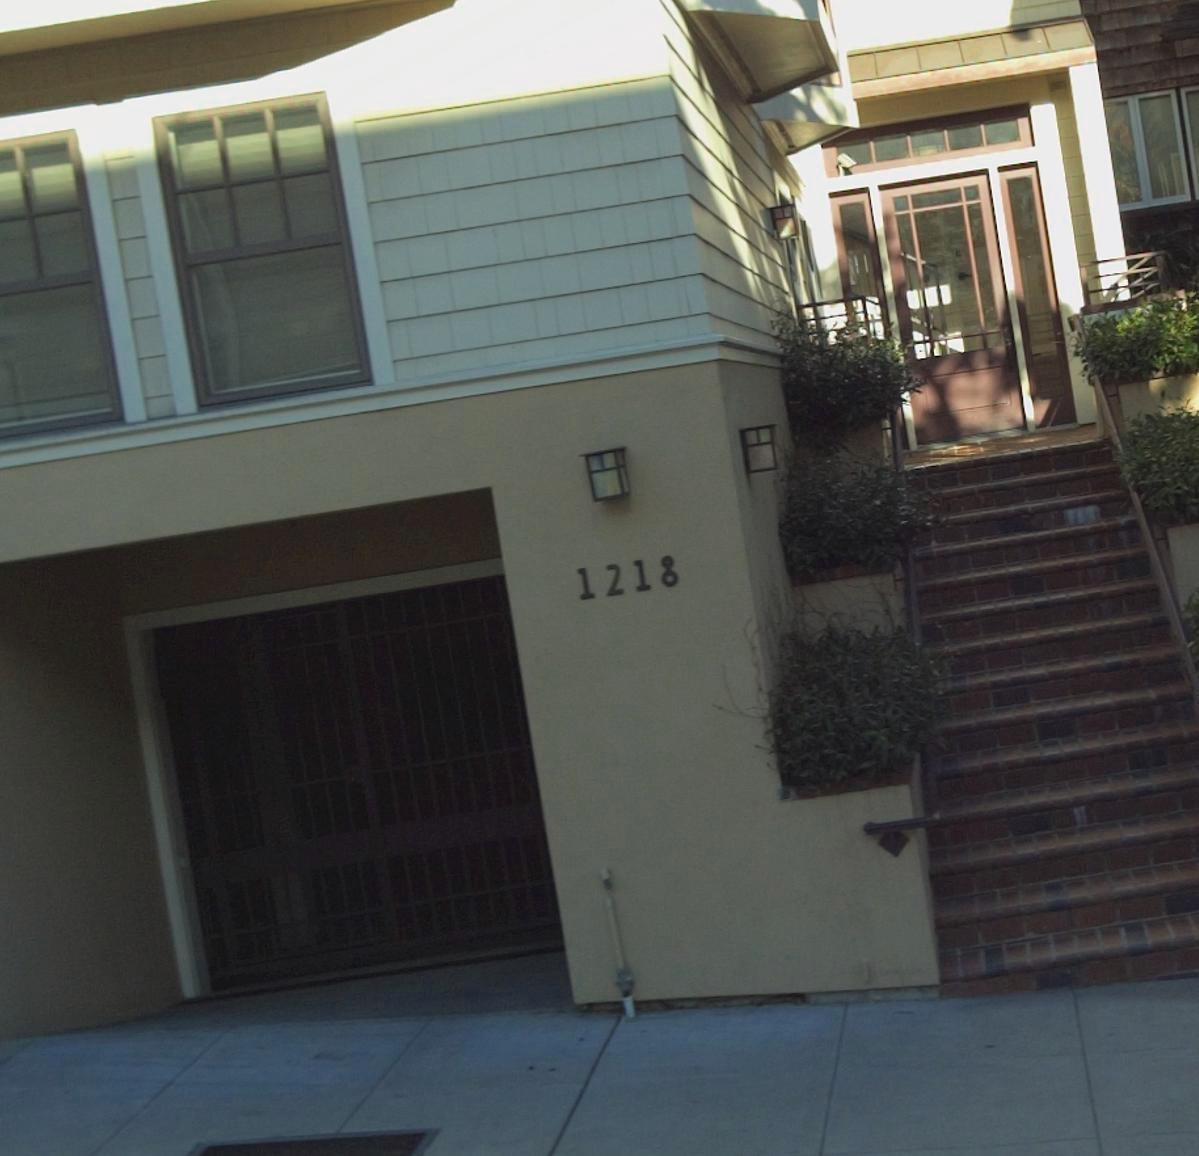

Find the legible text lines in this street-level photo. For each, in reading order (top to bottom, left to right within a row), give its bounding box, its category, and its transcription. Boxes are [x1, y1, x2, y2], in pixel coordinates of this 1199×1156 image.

[575, 552, 681, 605] StreetNumber: 1218